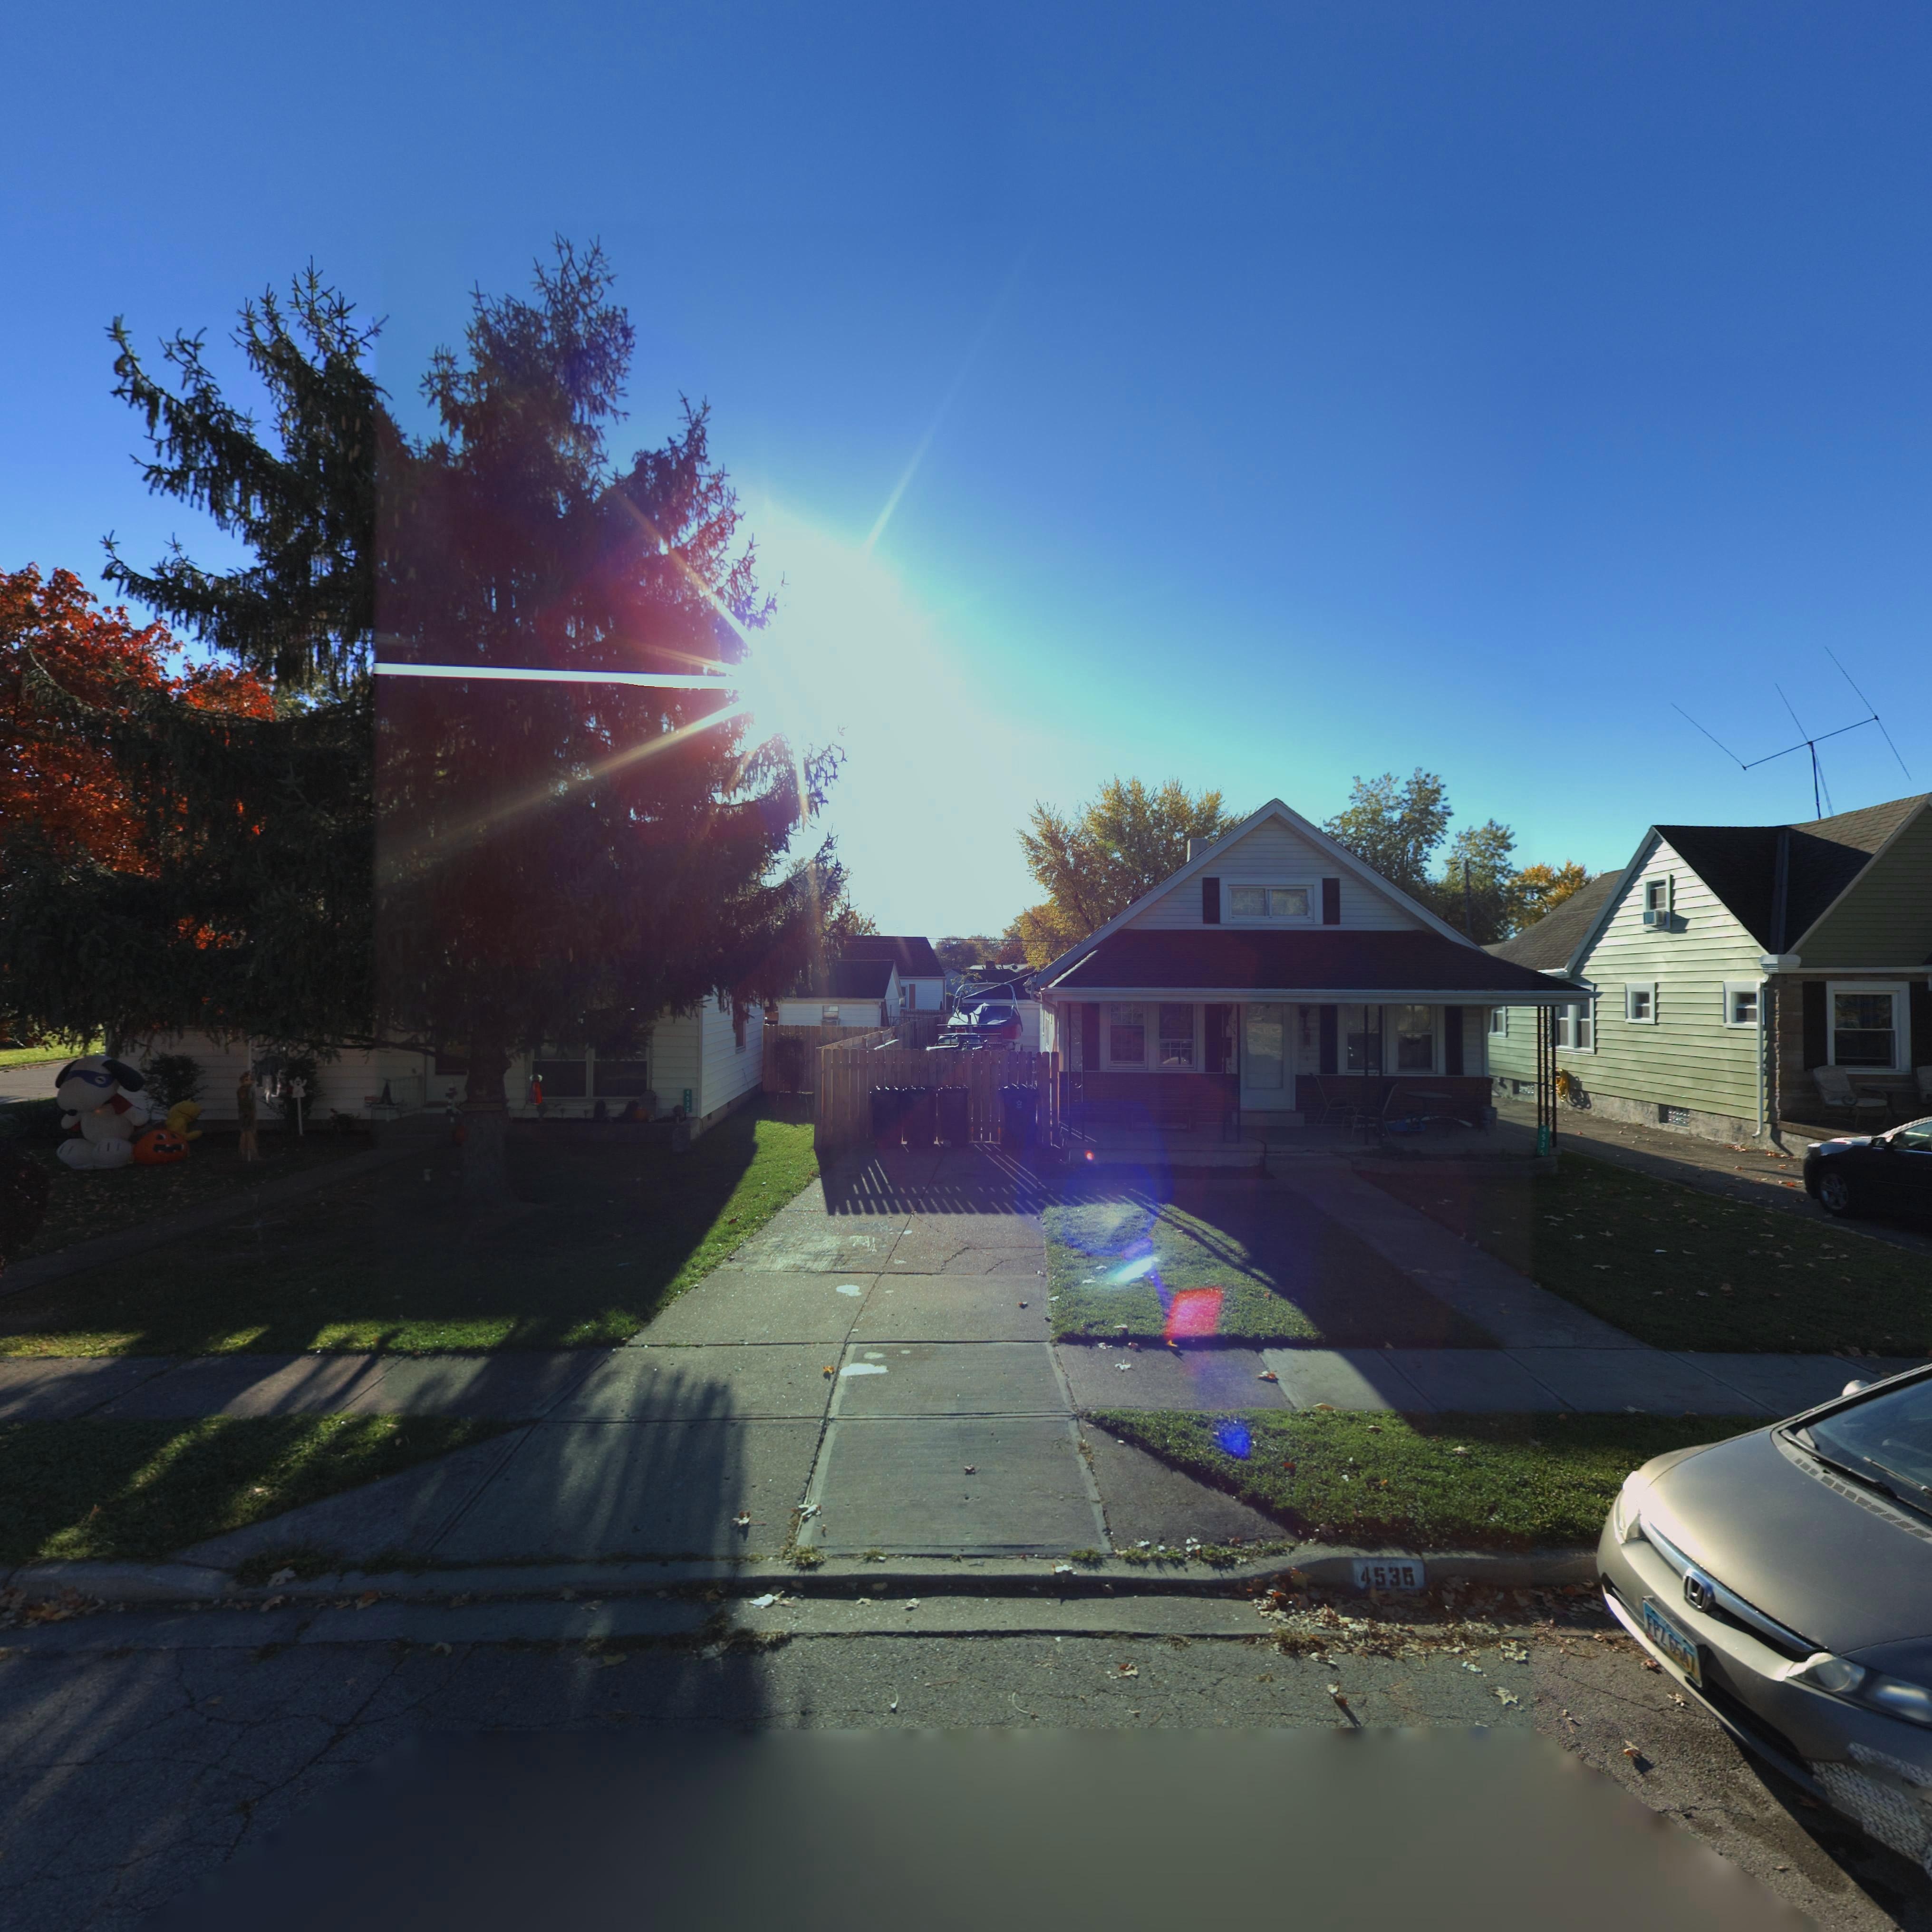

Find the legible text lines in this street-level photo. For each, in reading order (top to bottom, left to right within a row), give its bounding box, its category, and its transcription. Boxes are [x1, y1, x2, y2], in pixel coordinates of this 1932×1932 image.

[685, 1089, 690, 1113] StreetNumber: 4532
[1541, 1124, 1548, 1154] StreetNumber: 4536
[1359, 1565, 1417, 1587] StreetNumber: 4535